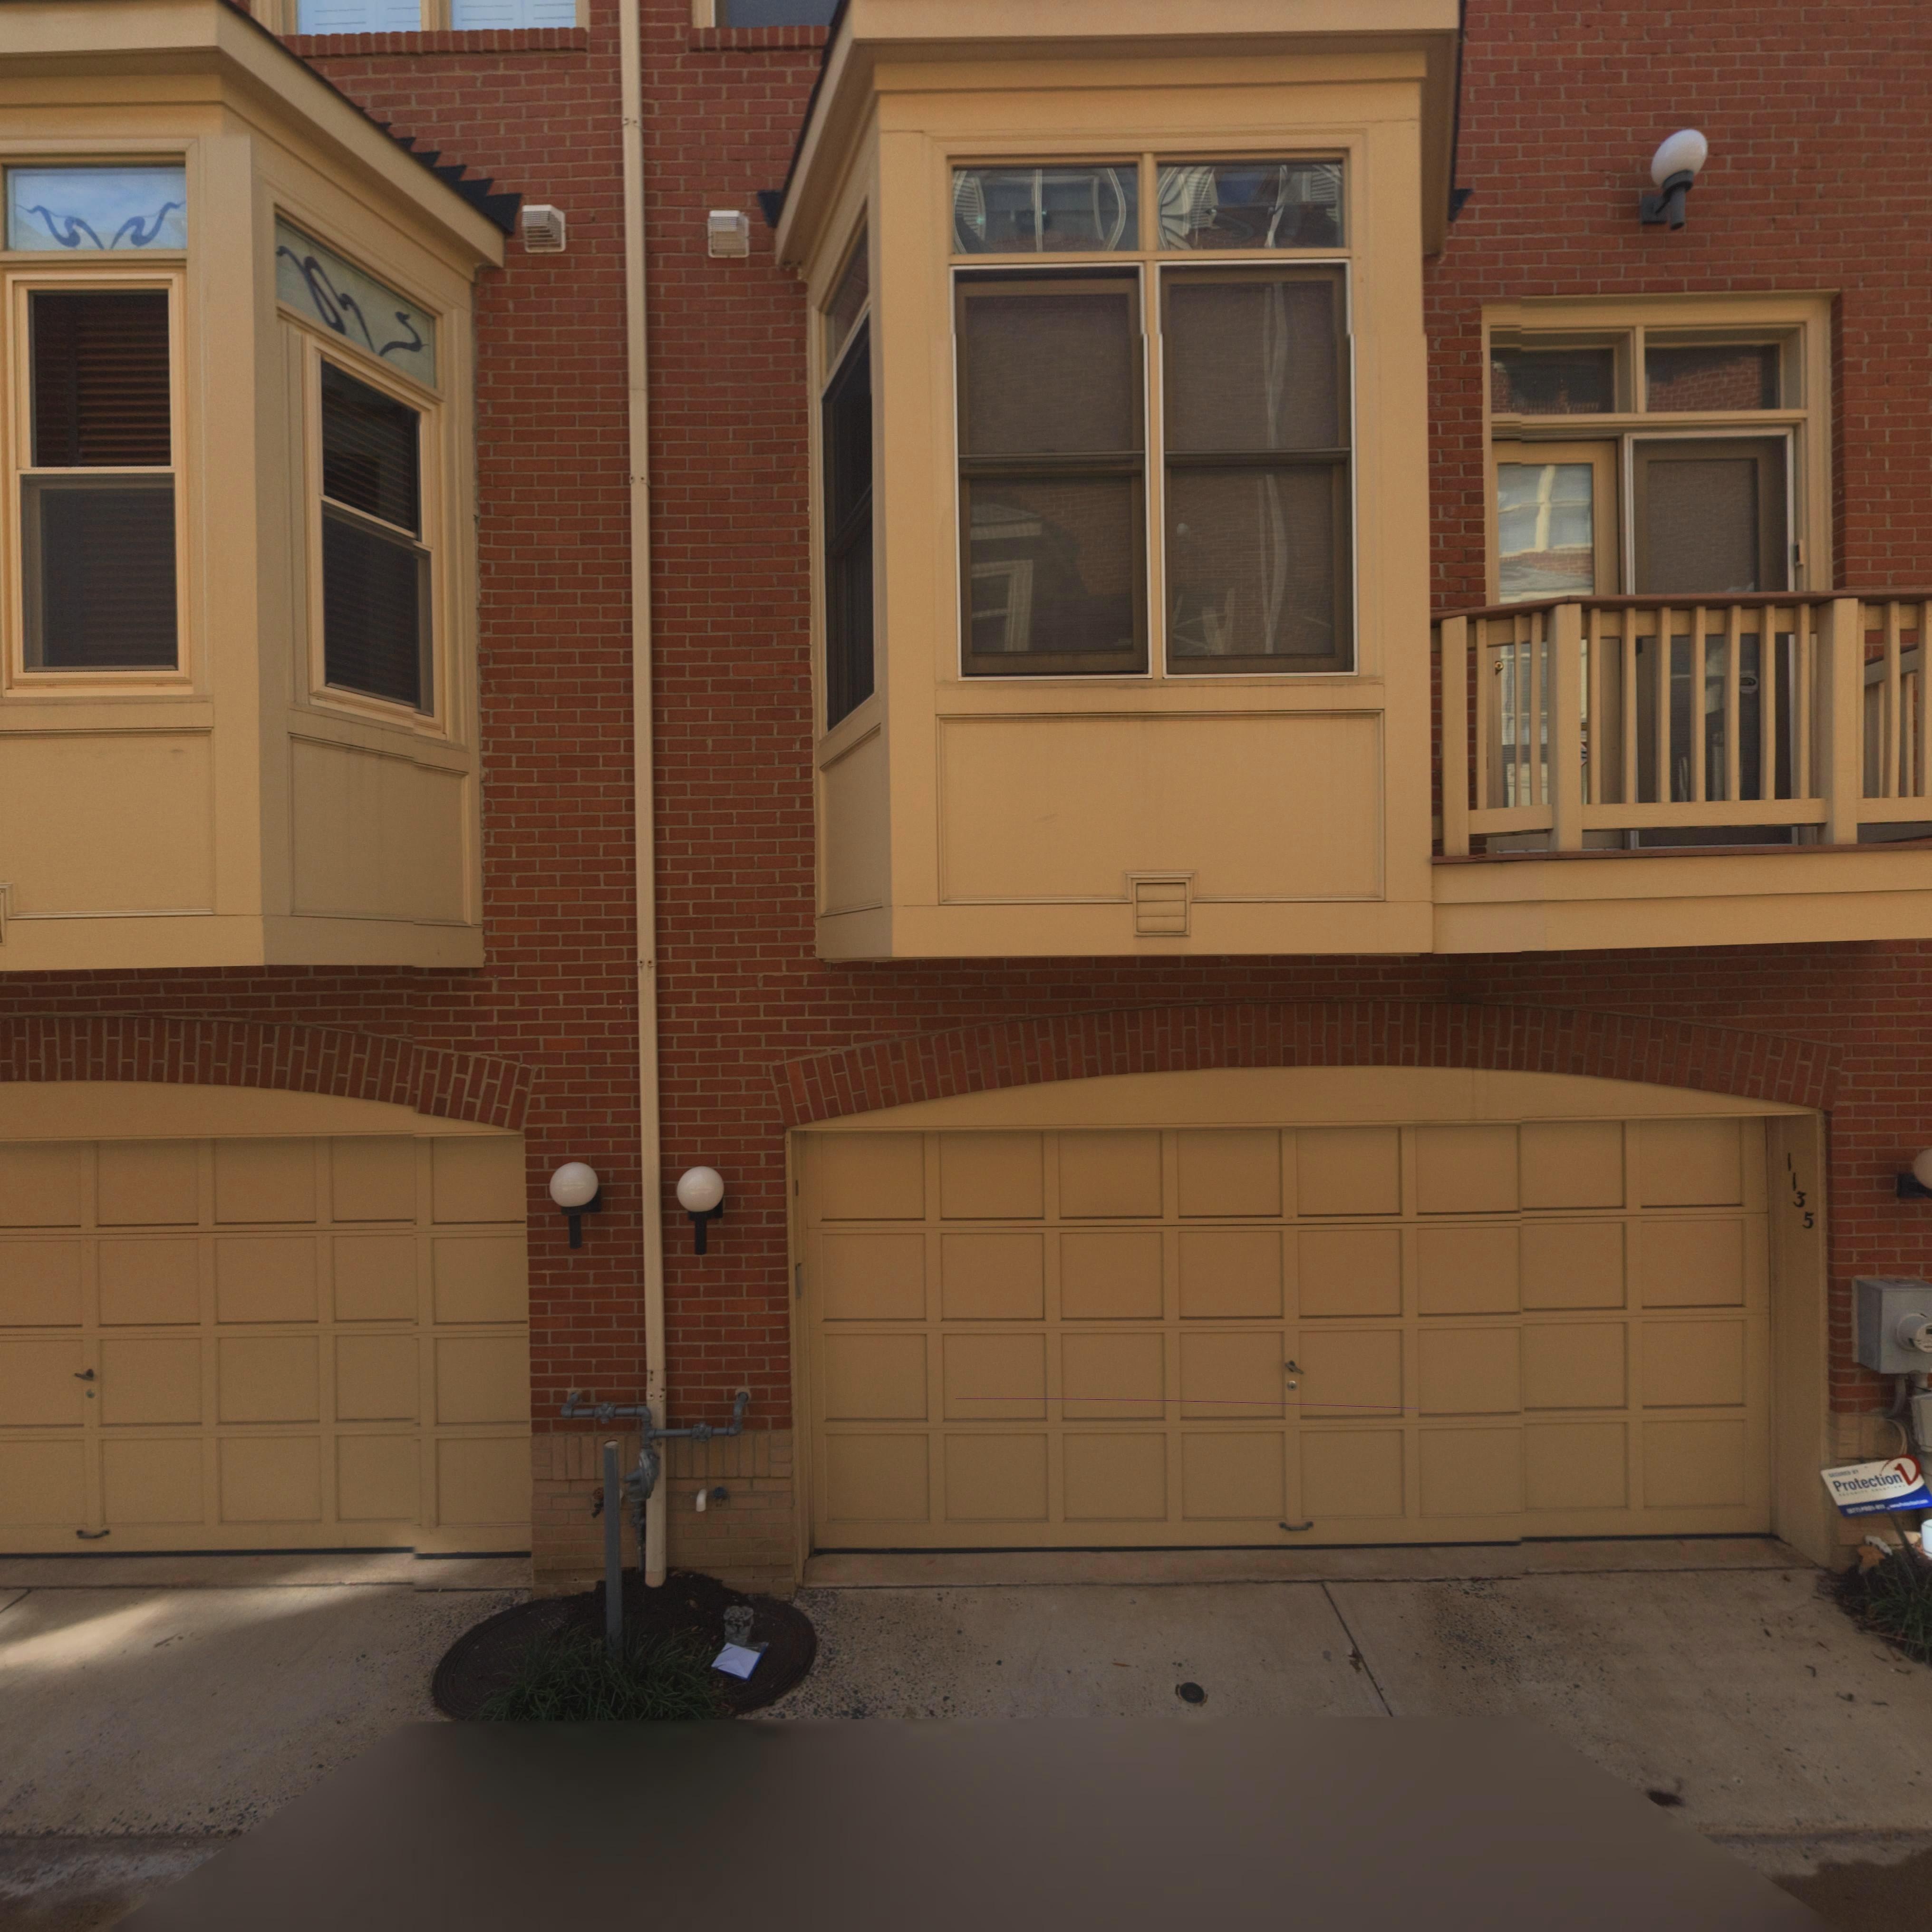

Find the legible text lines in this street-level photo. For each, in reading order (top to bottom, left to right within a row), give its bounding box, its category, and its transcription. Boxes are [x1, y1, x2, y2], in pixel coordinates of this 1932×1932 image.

[1786, 1151, 1815, 1232] StreetNumber: 1135
[1831, 1462, 1911, 1493] None: Protection1